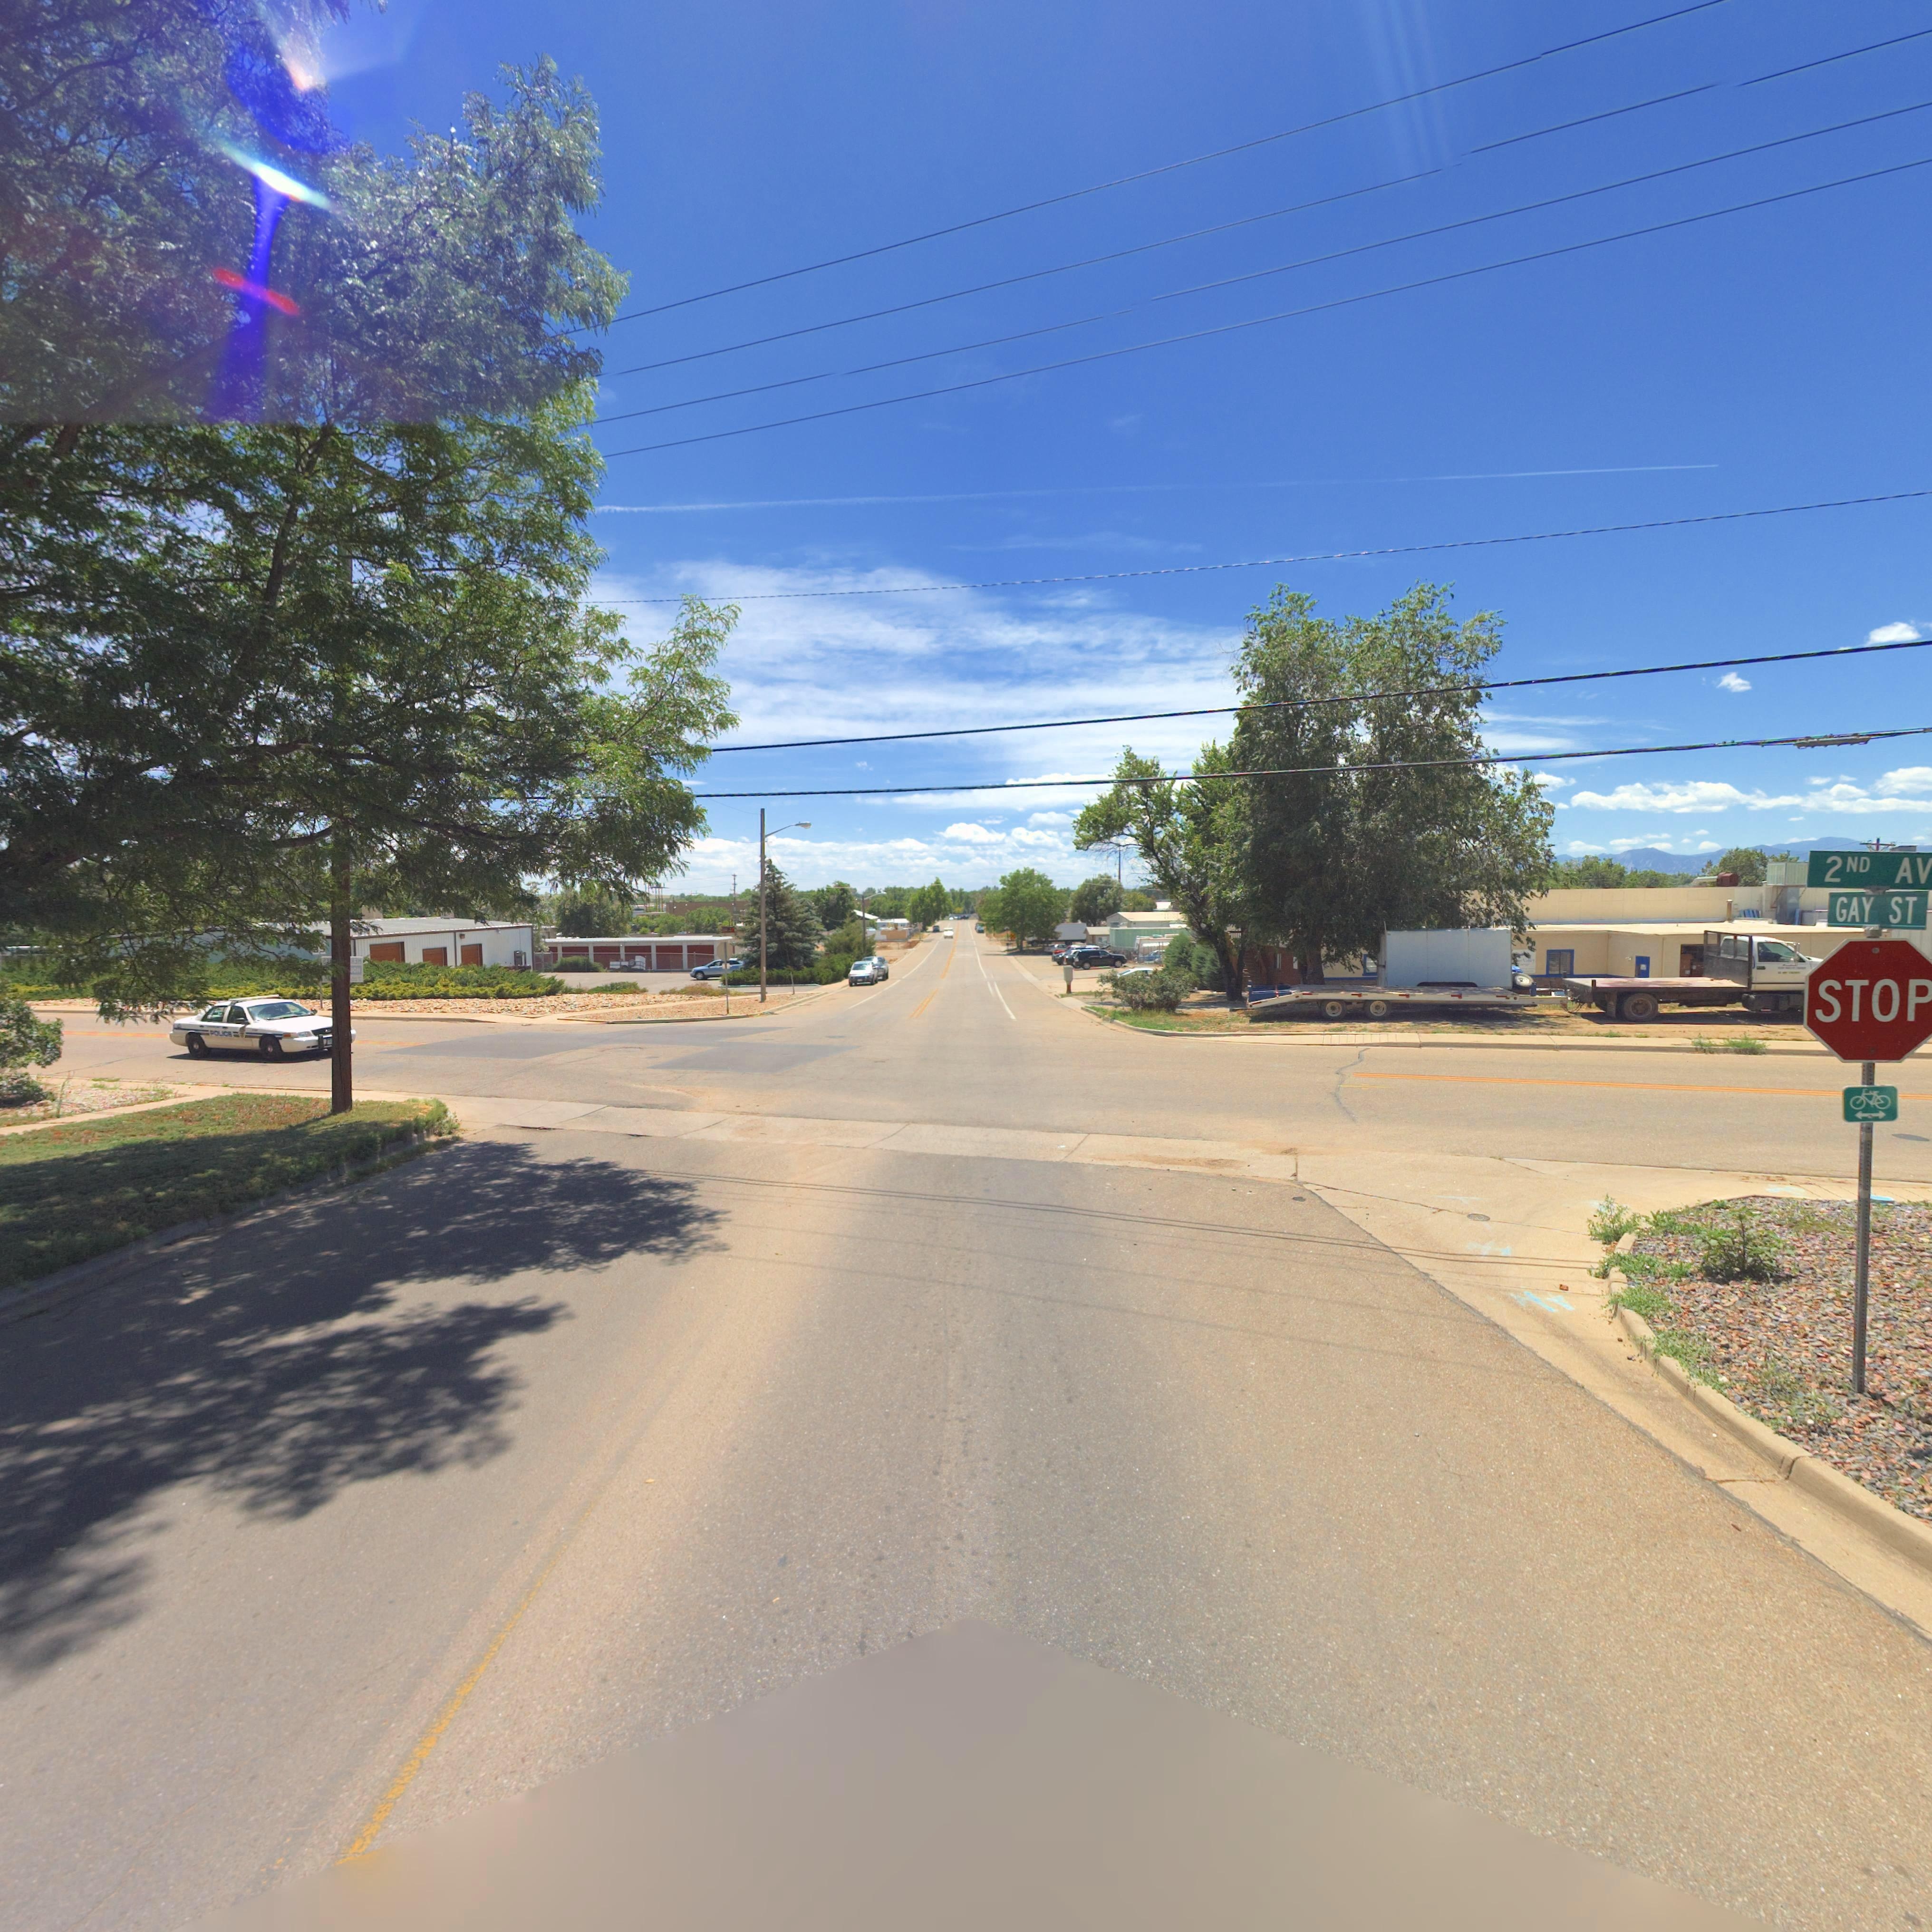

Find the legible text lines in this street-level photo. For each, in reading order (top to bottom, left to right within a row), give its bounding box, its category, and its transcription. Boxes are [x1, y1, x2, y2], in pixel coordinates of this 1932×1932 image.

[1823, 855, 1931, 885] StreetName: 2ND AV
[1834, 895, 1919, 925] StreetName: GAY ST